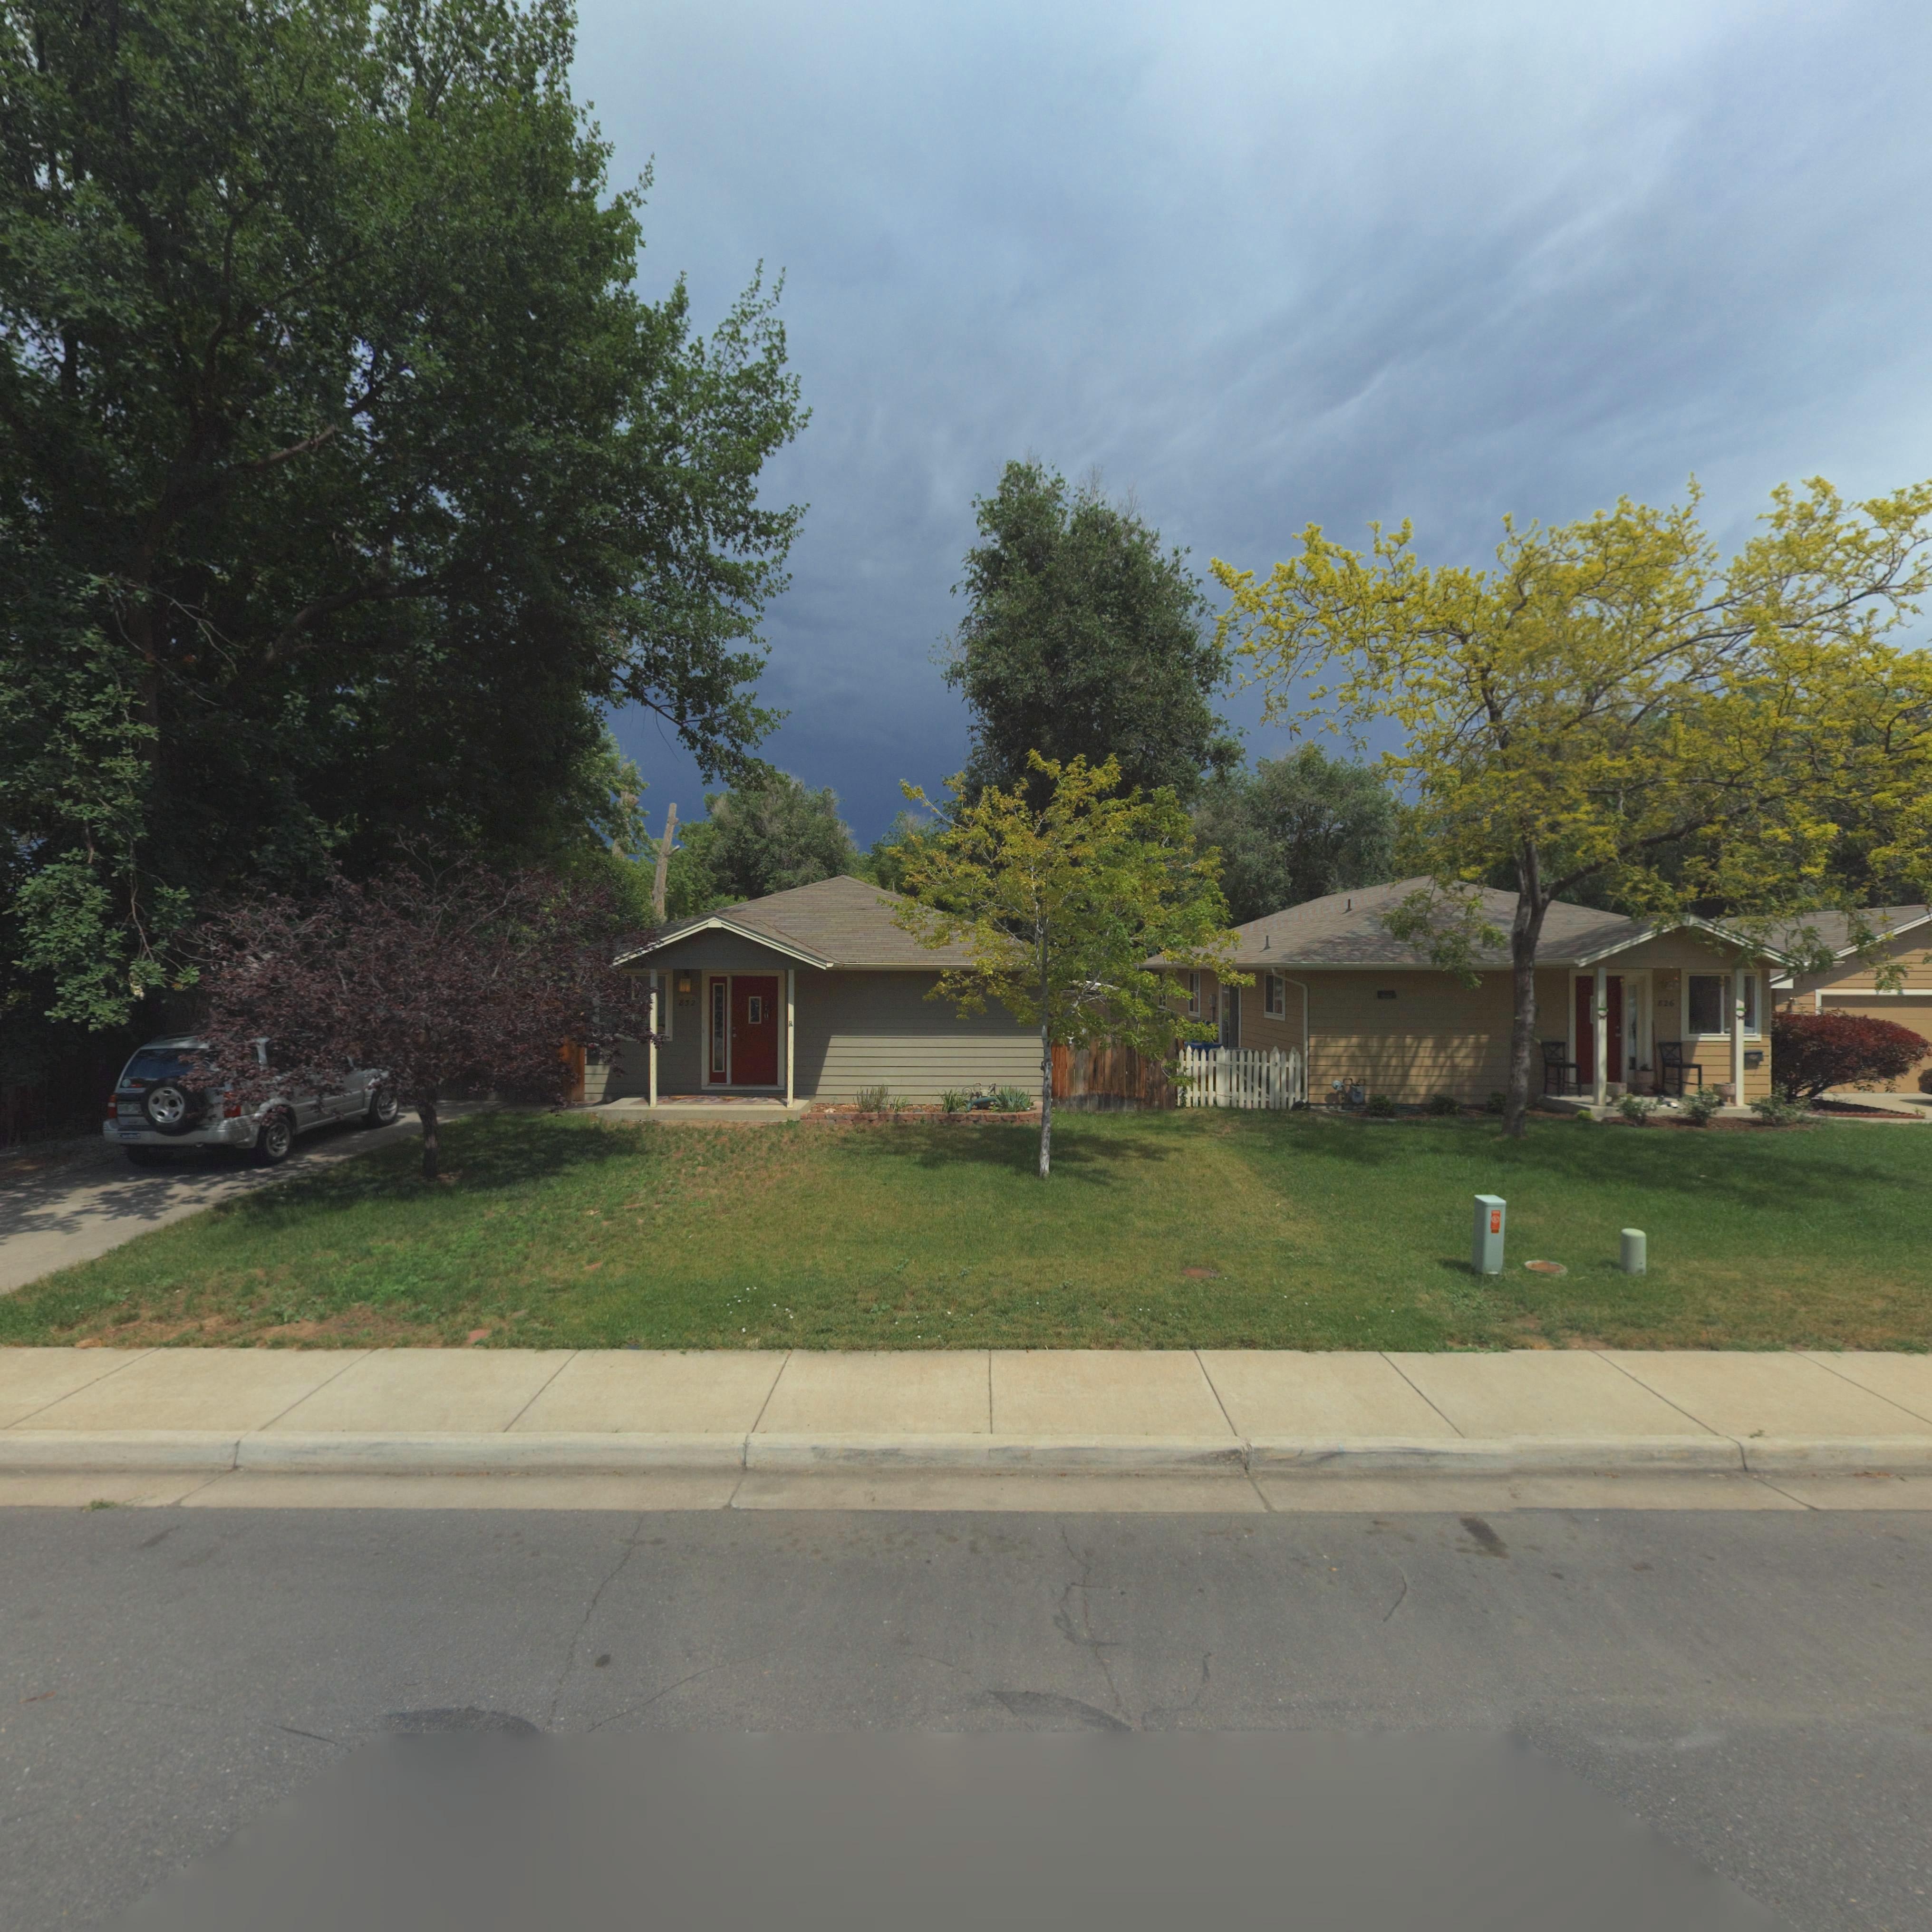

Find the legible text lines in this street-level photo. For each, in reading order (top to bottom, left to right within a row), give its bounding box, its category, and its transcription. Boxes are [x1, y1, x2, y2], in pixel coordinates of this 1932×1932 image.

[678, 999, 695, 1006] StreetNumber: 832
[1657, 999, 1674, 1007] StreetNumber: 826